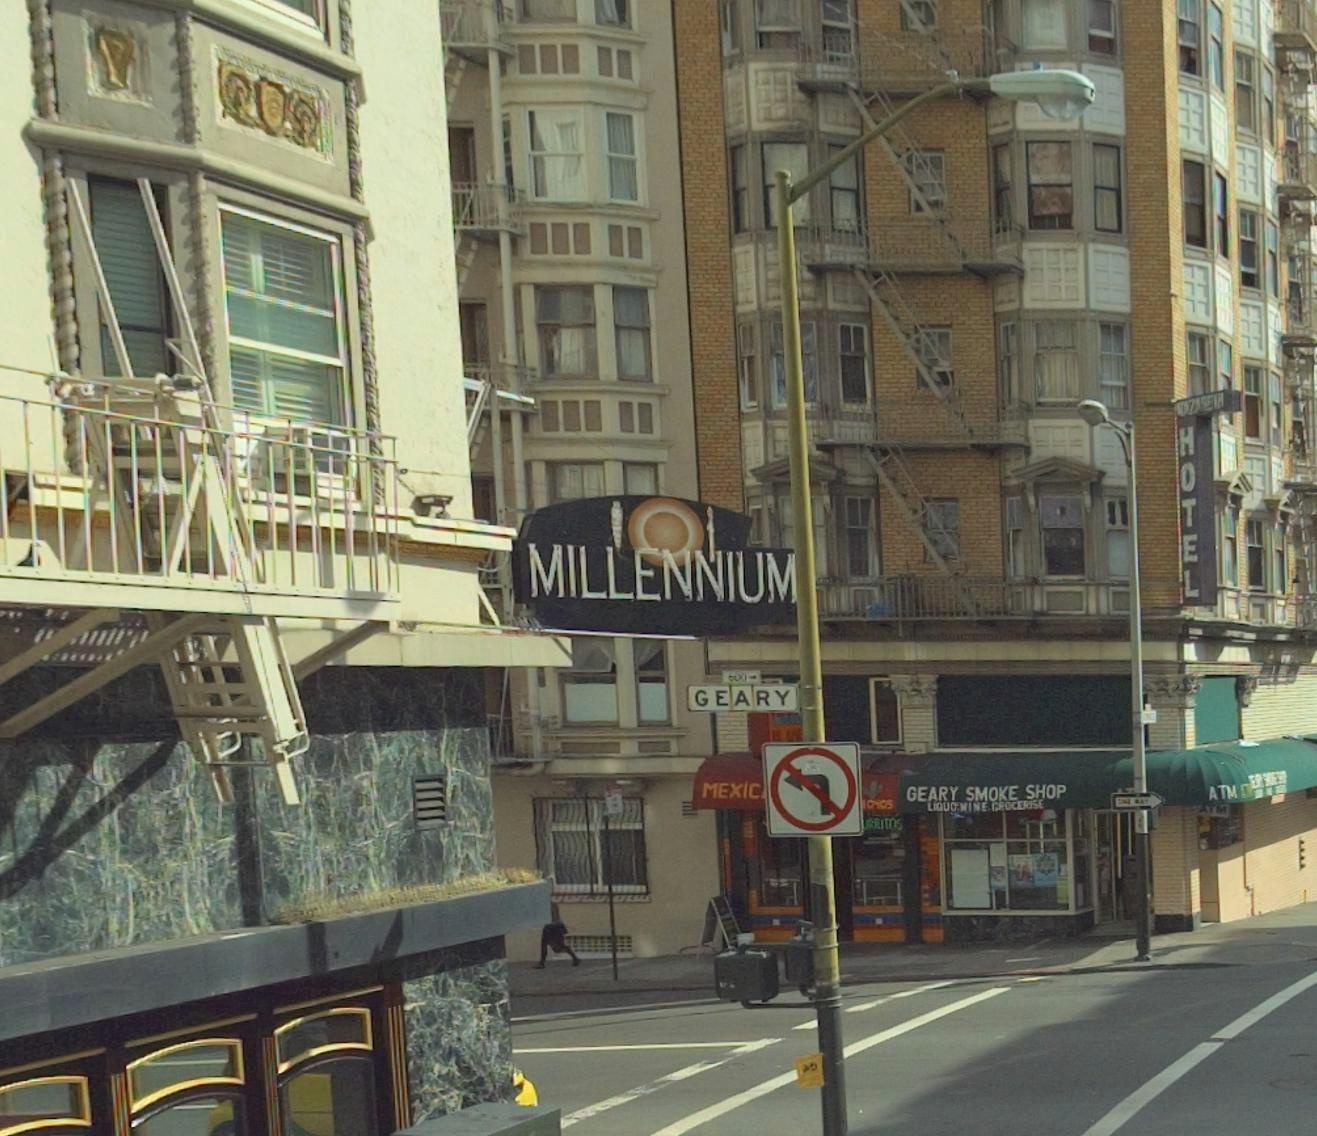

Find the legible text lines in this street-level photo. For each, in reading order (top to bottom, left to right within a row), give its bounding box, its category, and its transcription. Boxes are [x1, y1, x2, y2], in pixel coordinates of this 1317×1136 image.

[526, 540, 800, 606] None: MILLENNIUM
[724, 669, 761, 685] StreetNumberRange: 600->
[691, 686, 795, 710] StreetName: GEARY
[699, 777, 763, 802] BusinessName: MEXIC
[864, 794, 896, 813] None: O*OS
[924, 797, 1047, 815] None: LIQUO**WINE GROCERISE
[904, 782, 1069, 805] BusinessName: GEARY SMOKE SHOP
[1206, 781, 1241, 804] None: ATM